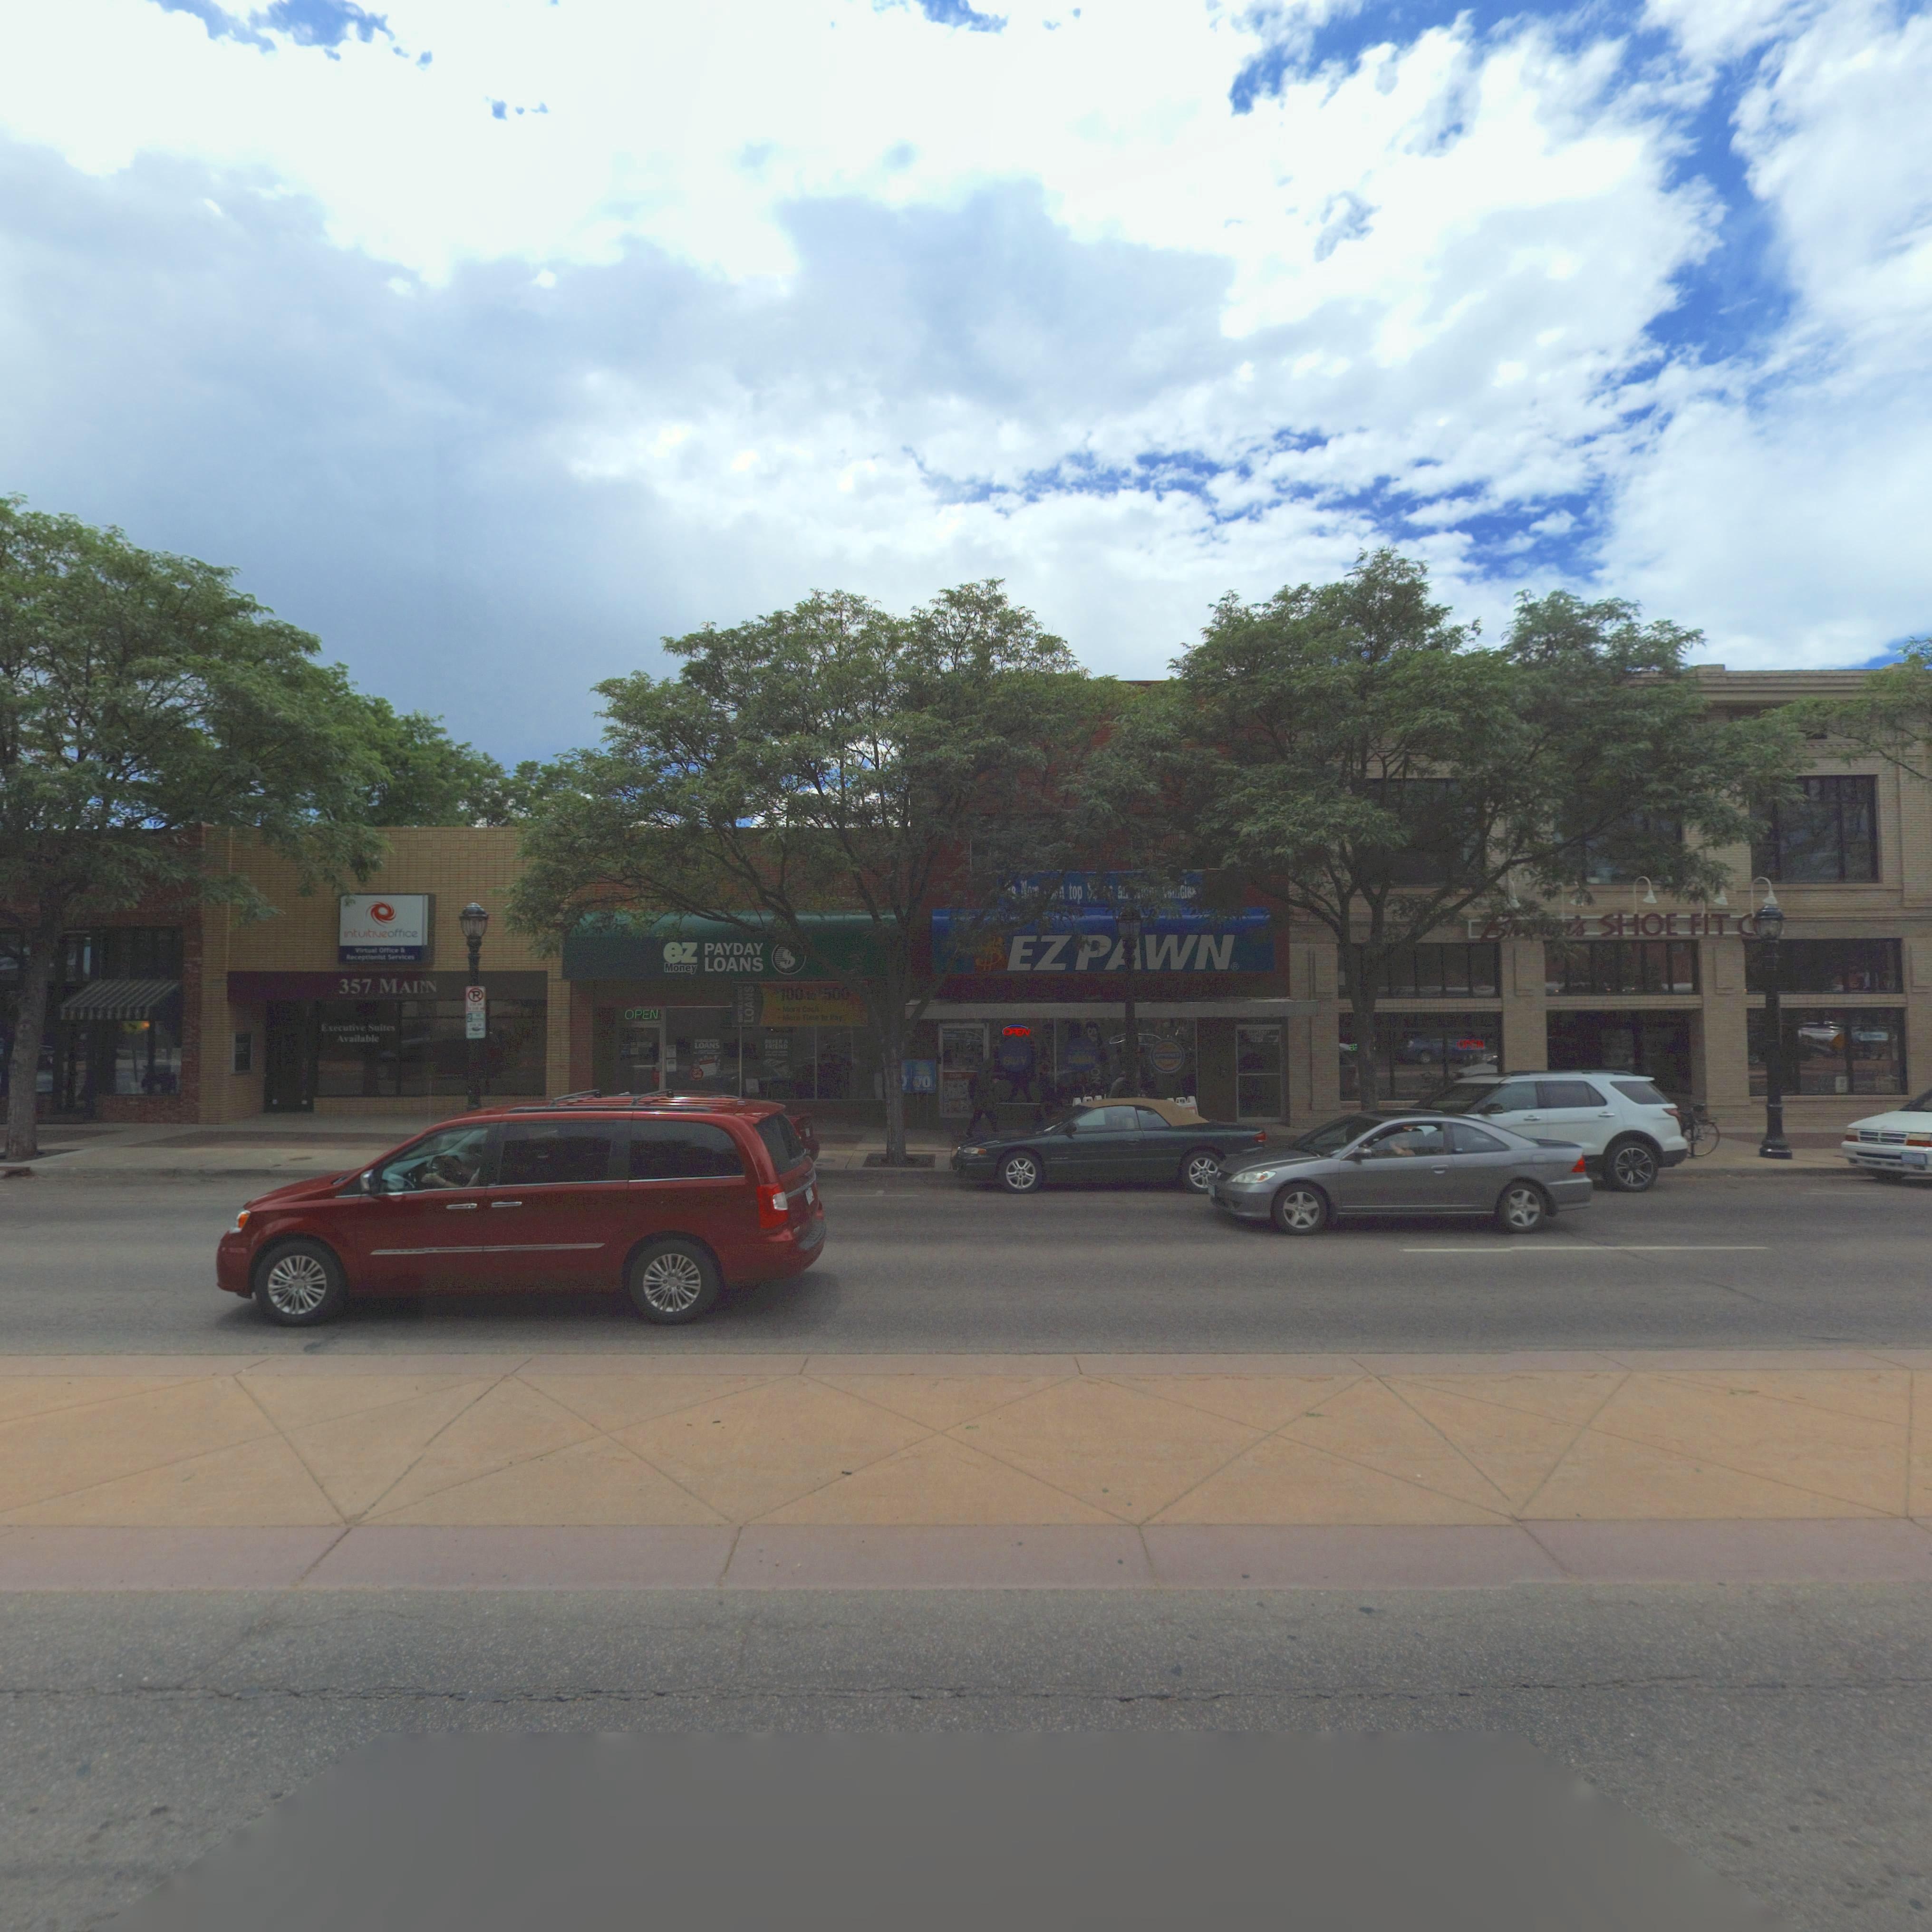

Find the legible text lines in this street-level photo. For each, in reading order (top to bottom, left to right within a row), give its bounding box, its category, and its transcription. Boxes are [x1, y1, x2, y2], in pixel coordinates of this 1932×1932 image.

[344, 927, 419, 938] BusinessName: intuitiveoffice
[1479, 910, 1757, 945] BusinessName: B****'s SHOE FIT C*
[663, 941, 697, 964] BusinessName: ez
[704, 942, 764, 956] BusinessName: PAYDAY
[1005, 933, 1236, 972] BusinessName: EZ P*WN
[665, 962, 698, 974] BusinessName: Money
[704, 956, 763, 972] BusinessName: LOANS
[338, 978, 372, 994] StreetNumber: 357
[379, 978, 437, 994] None: MAIN